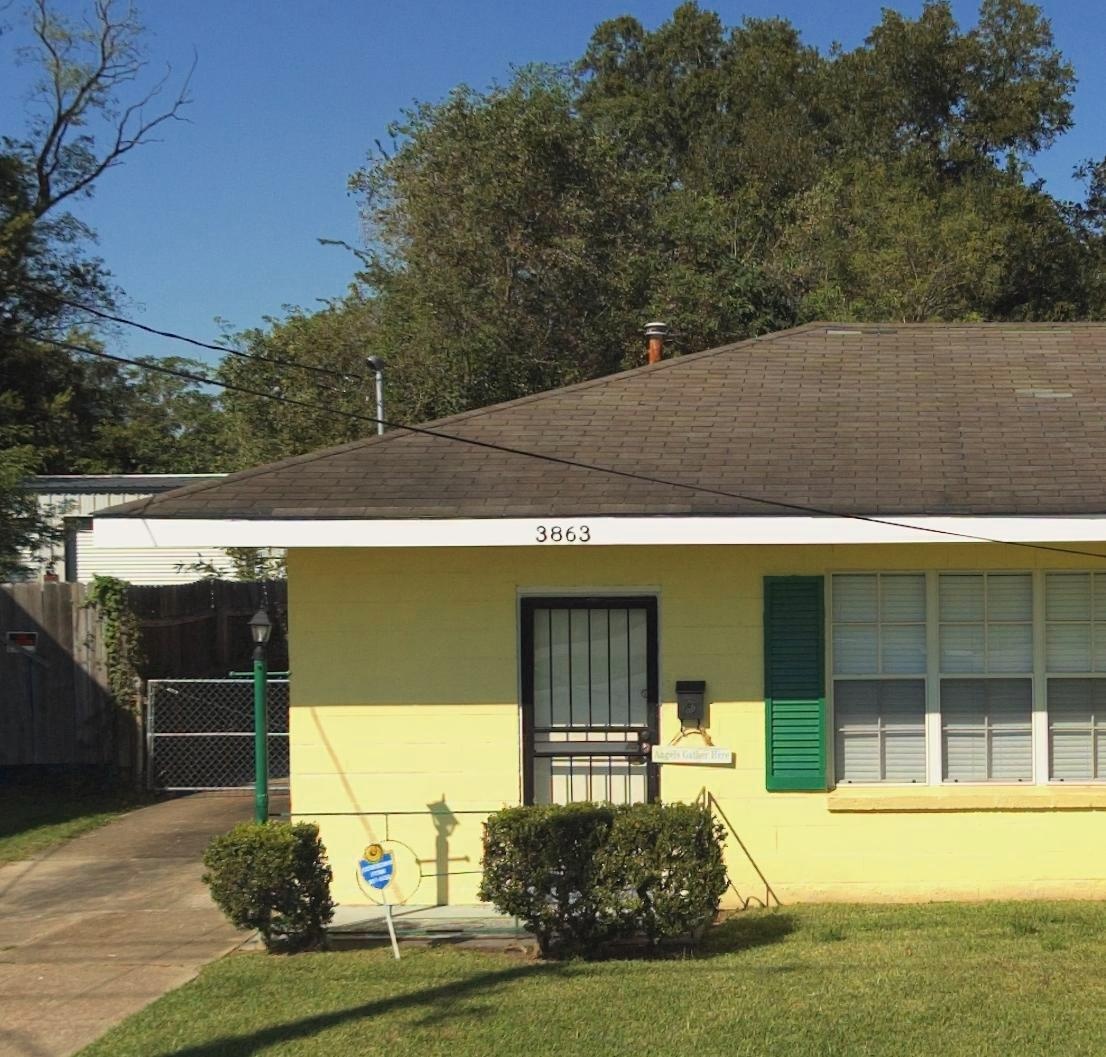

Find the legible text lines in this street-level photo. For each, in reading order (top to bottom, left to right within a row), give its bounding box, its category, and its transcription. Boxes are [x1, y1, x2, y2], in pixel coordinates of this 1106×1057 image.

[535, 524, 591, 543] StreetNumber: 3863
[651, 748, 732, 762] None: Angels Gather Here